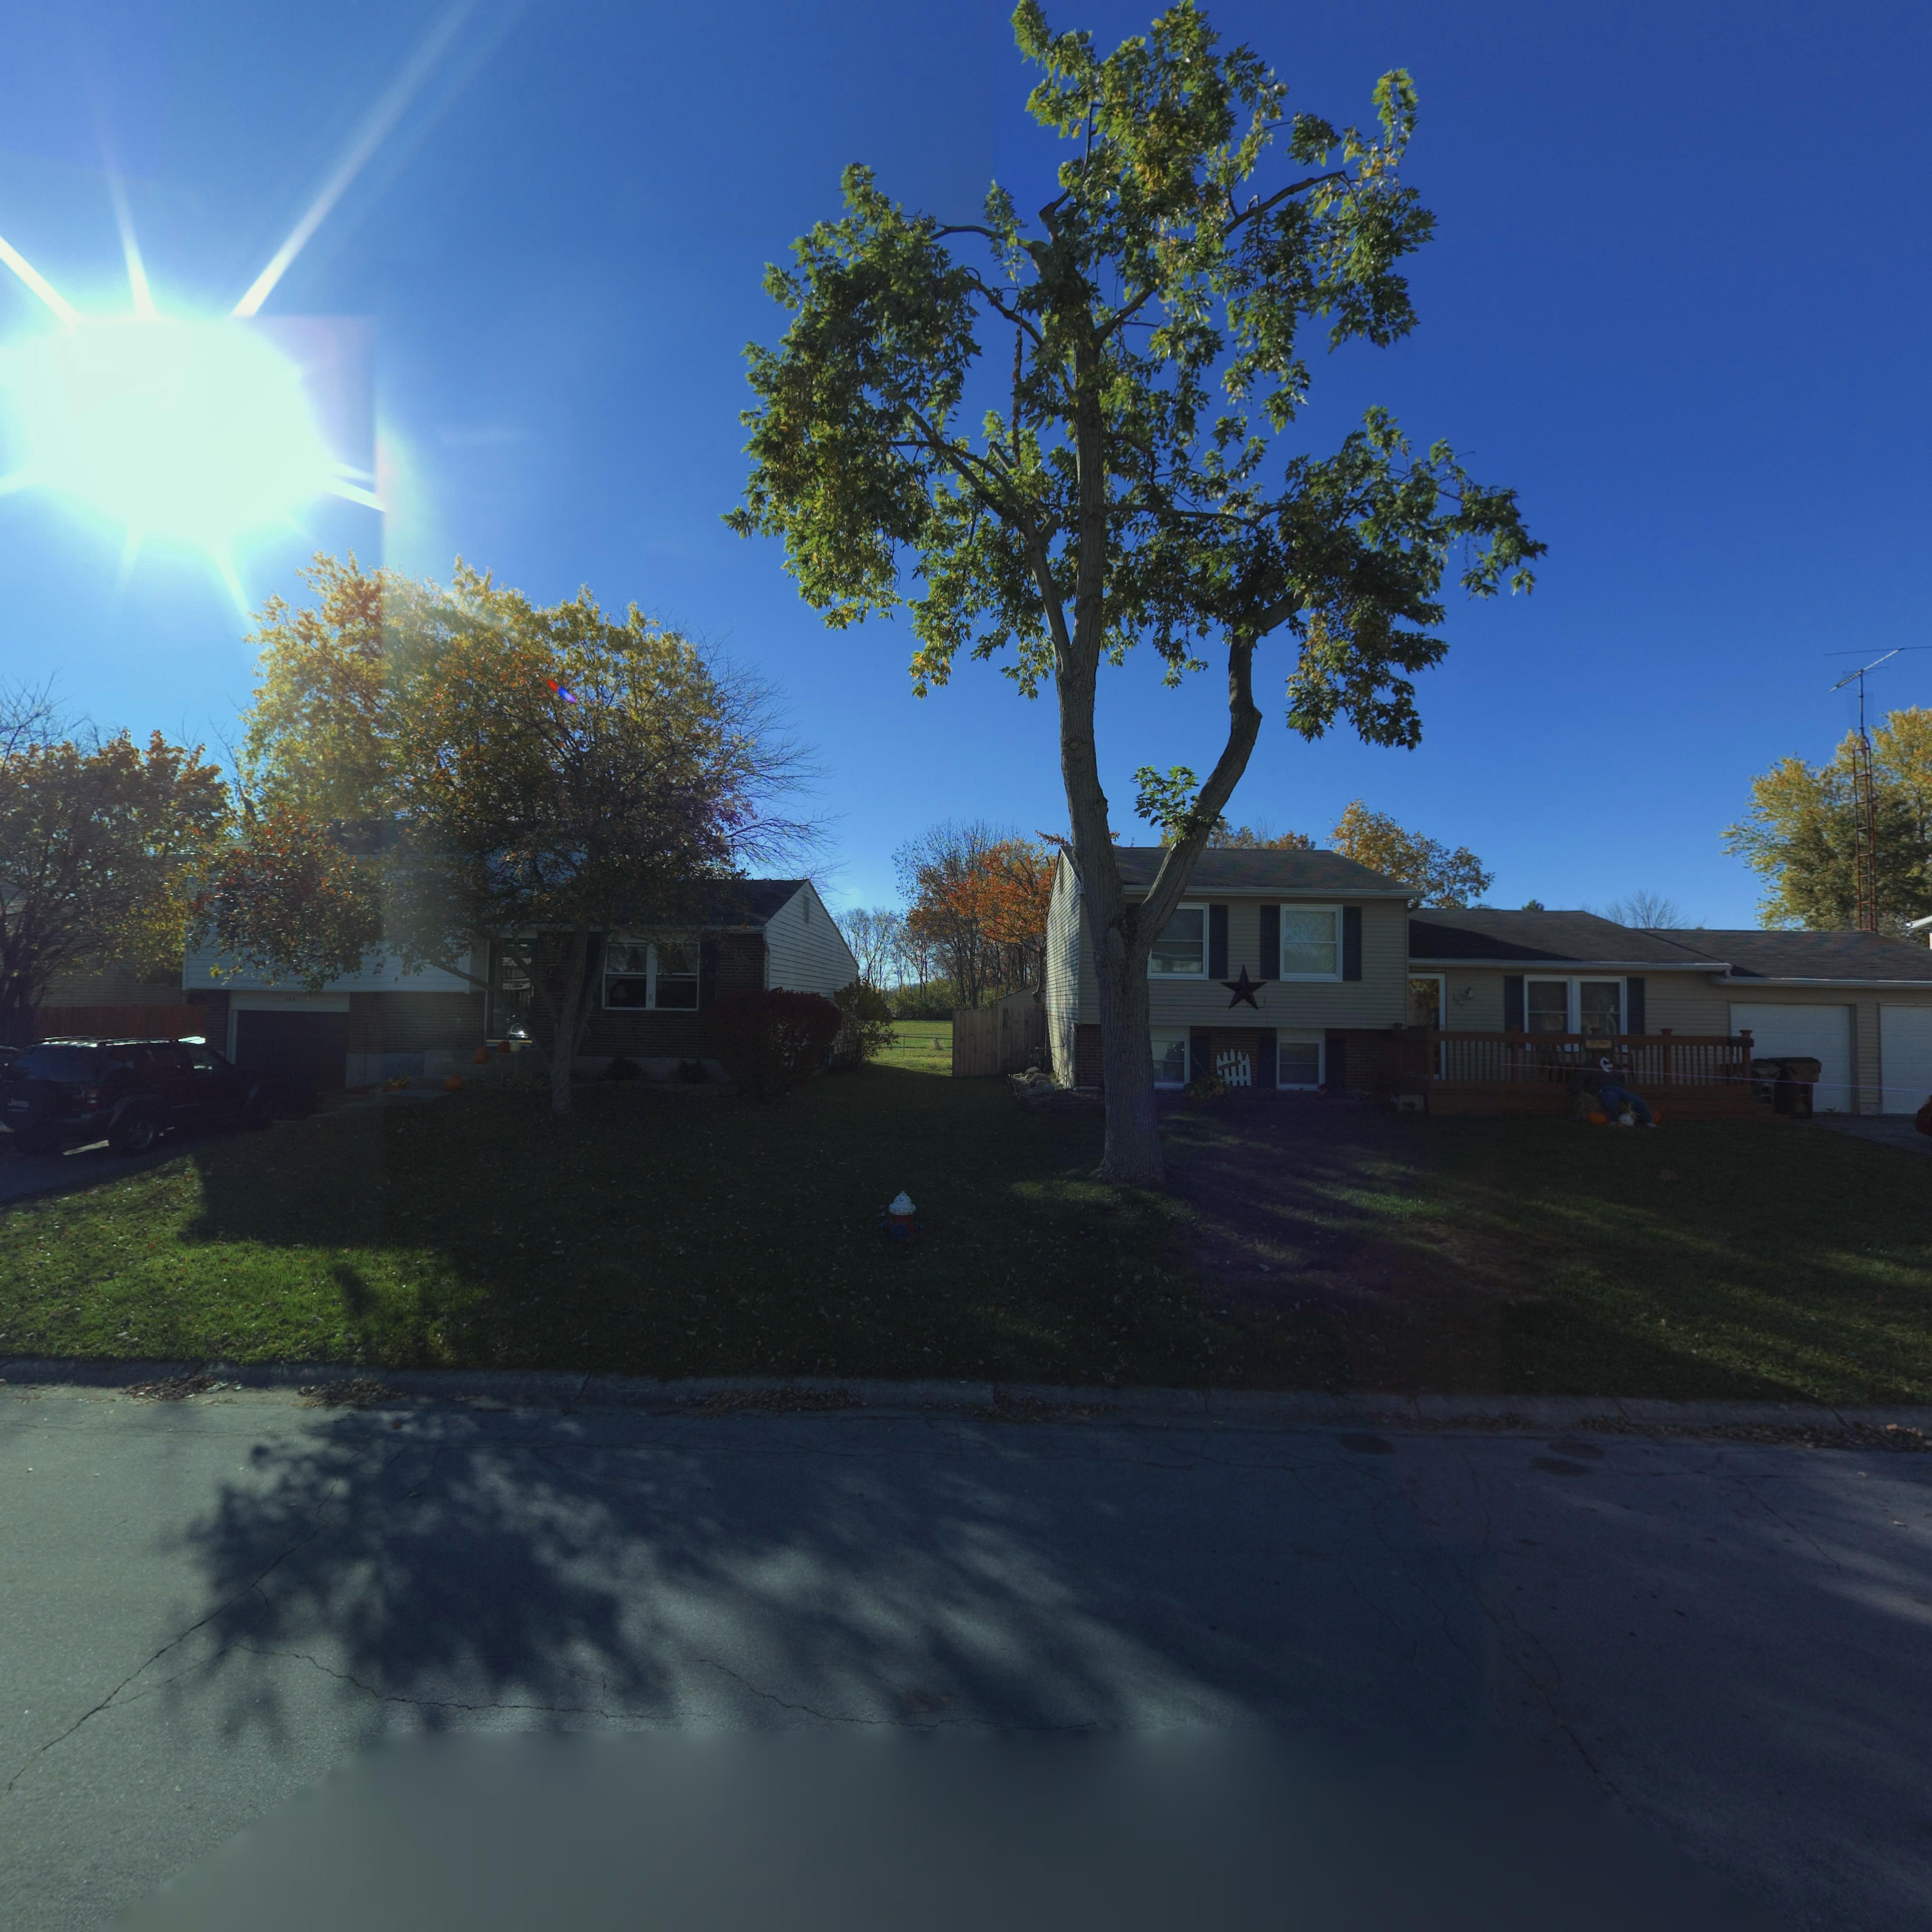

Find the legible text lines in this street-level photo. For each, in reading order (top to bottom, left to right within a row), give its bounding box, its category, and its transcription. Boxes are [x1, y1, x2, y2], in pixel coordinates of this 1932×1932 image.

[284, 996, 296, 1003] StreetNumber: 135
[1452, 994, 1464, 1010] StreetNumber: 137